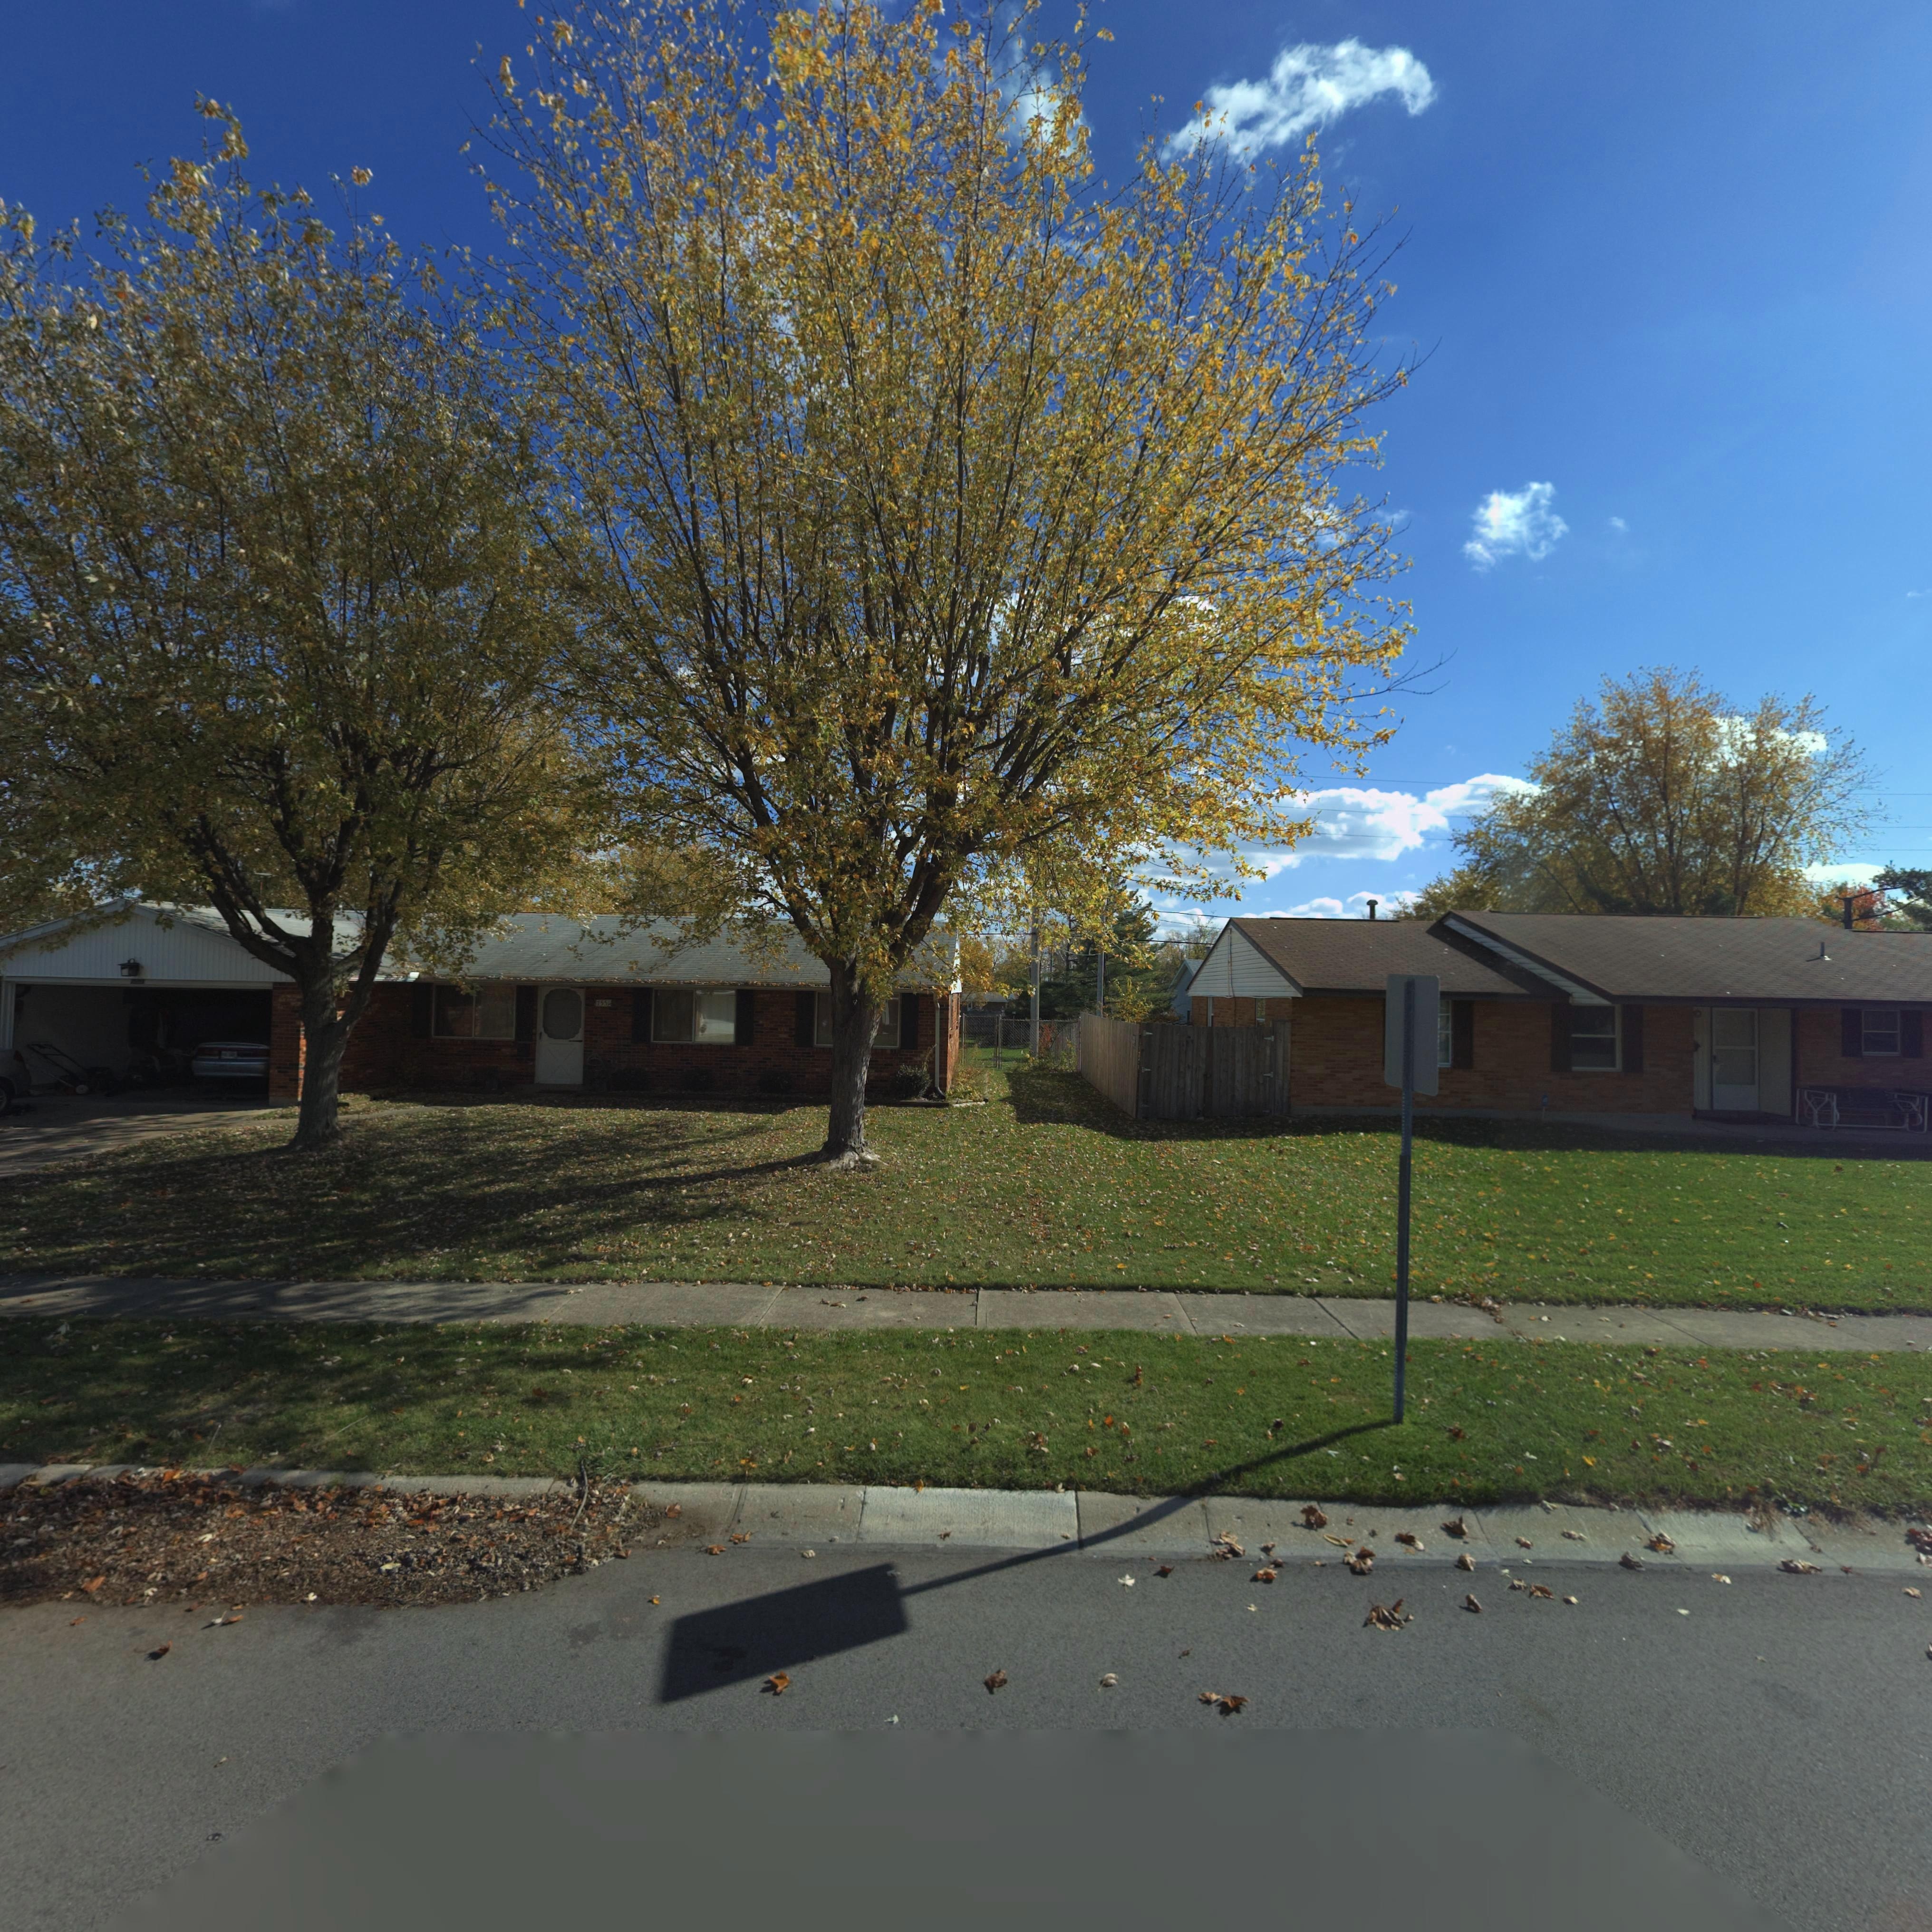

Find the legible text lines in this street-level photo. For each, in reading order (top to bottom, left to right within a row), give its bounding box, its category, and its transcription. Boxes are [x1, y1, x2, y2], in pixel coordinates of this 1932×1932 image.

[596, 999, 611, 1007] StreetNumber: *55*